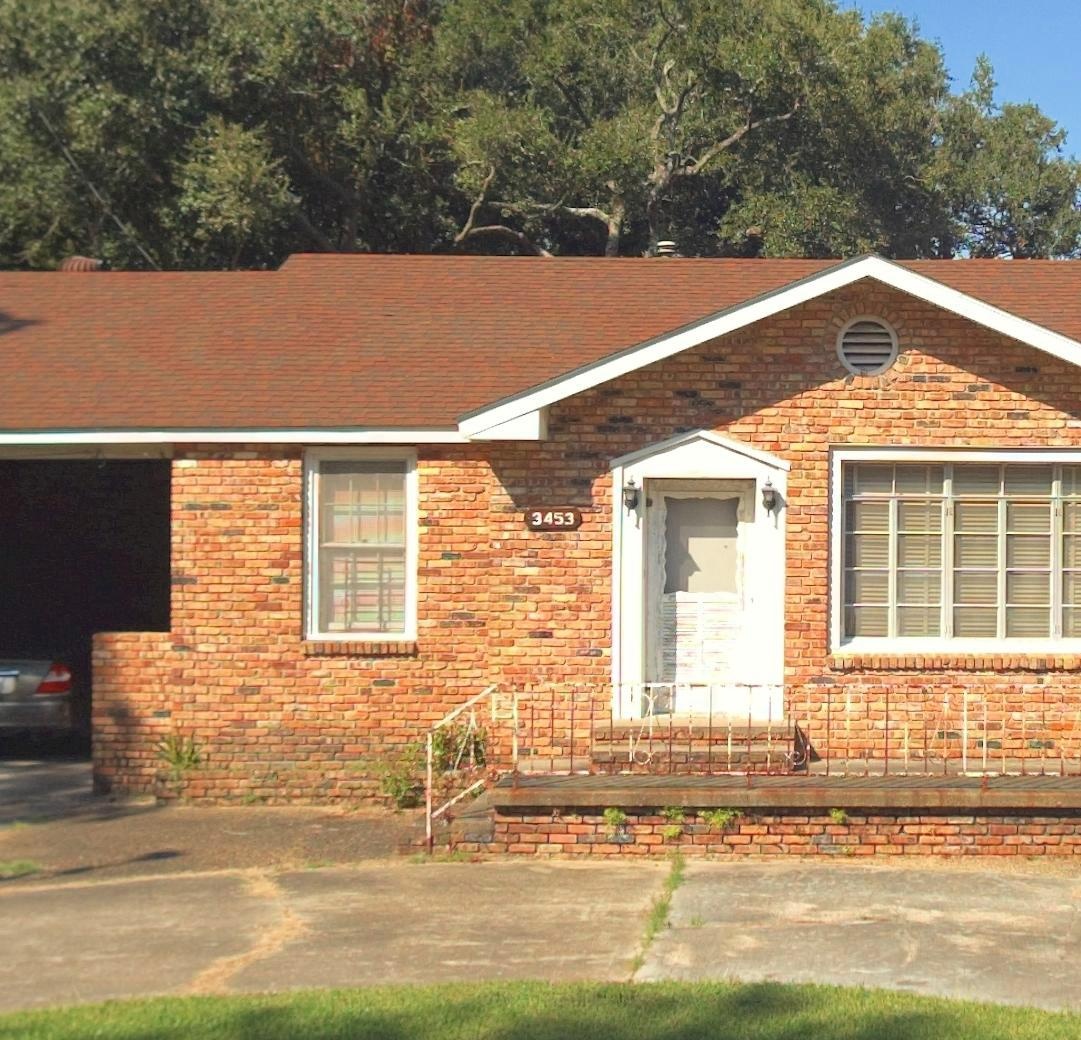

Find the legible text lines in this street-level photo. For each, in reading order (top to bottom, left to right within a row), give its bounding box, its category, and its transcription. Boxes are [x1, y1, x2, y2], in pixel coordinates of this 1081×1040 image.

[530, 510, 575, 527] StreetNumber: 3453